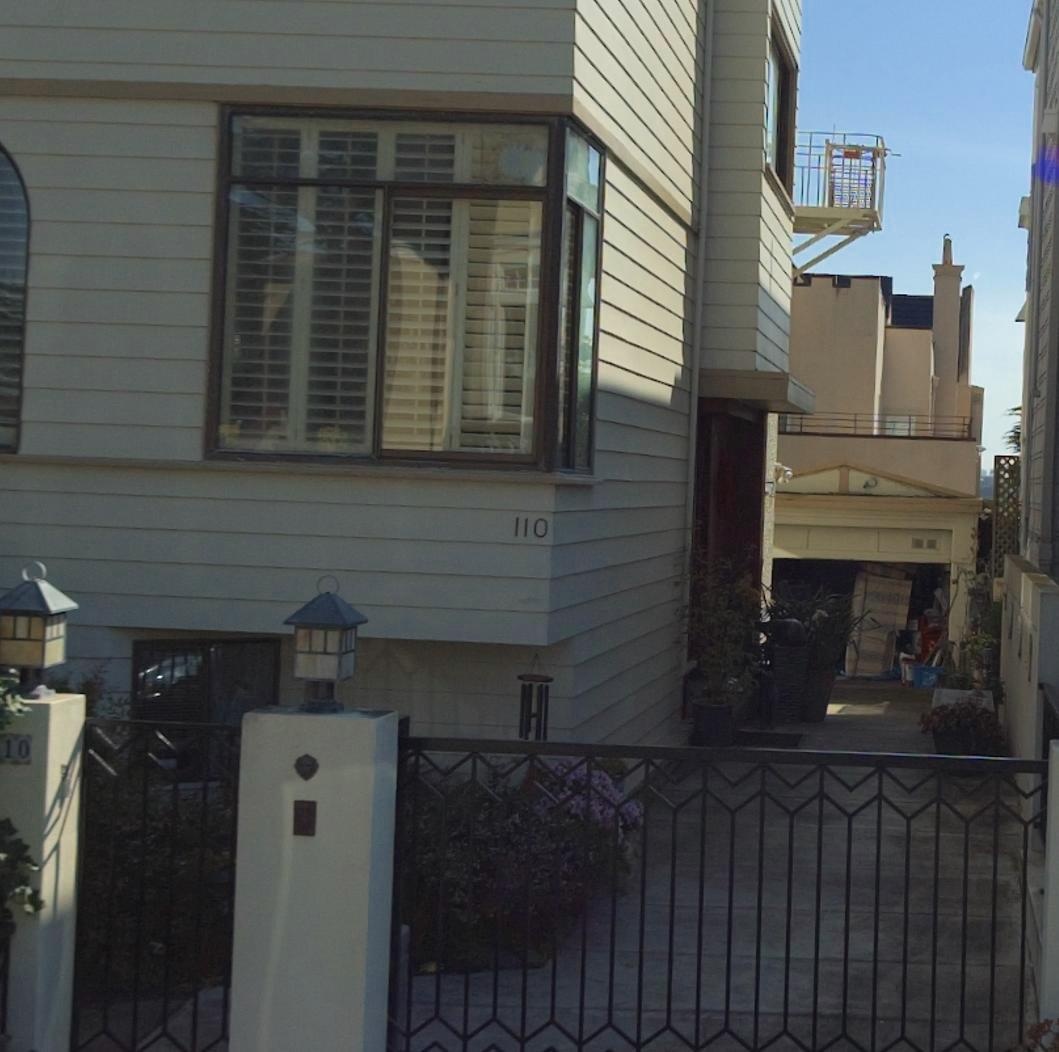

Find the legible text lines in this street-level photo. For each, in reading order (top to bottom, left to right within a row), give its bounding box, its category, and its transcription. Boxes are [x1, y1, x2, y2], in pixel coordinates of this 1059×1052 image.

[511, 514, 549, 541] StreetNumber: 110
[2, 734, 29, 761] StreetNumber: 10